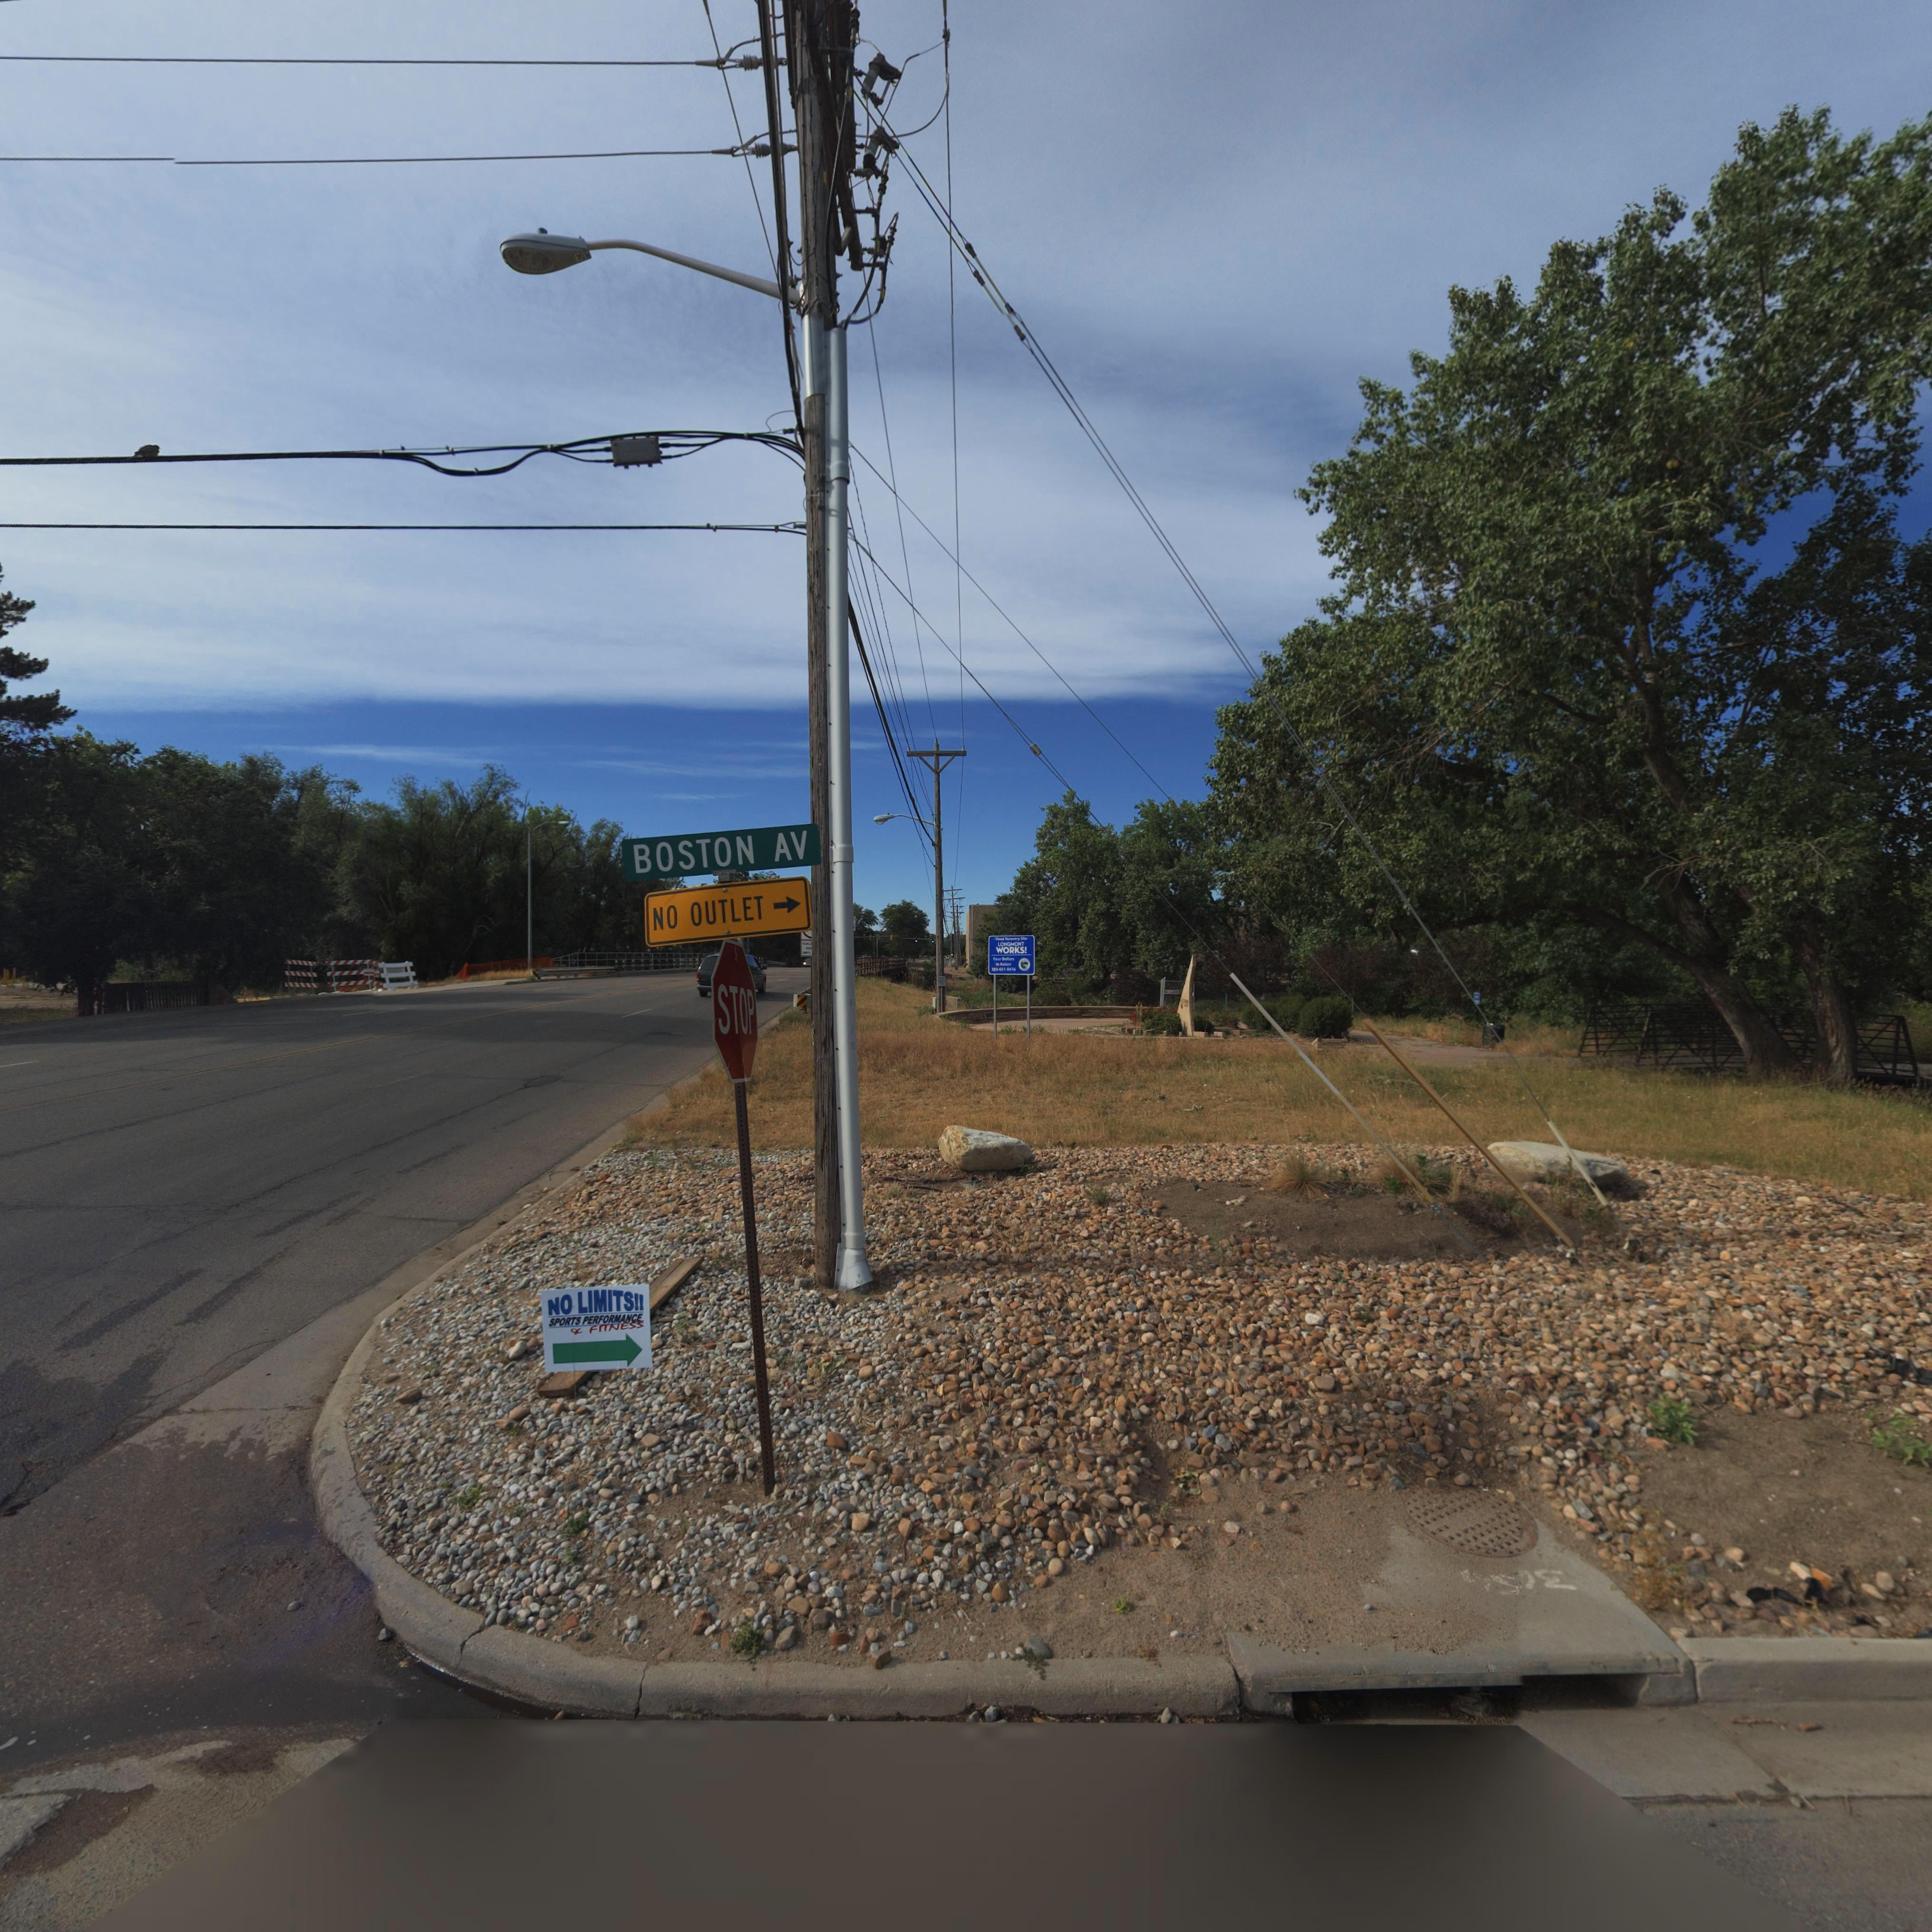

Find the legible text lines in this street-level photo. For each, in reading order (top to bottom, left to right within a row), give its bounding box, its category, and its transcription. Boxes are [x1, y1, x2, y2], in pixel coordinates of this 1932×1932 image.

[633, 830, 807, 874] StreetName: BOSTON AV